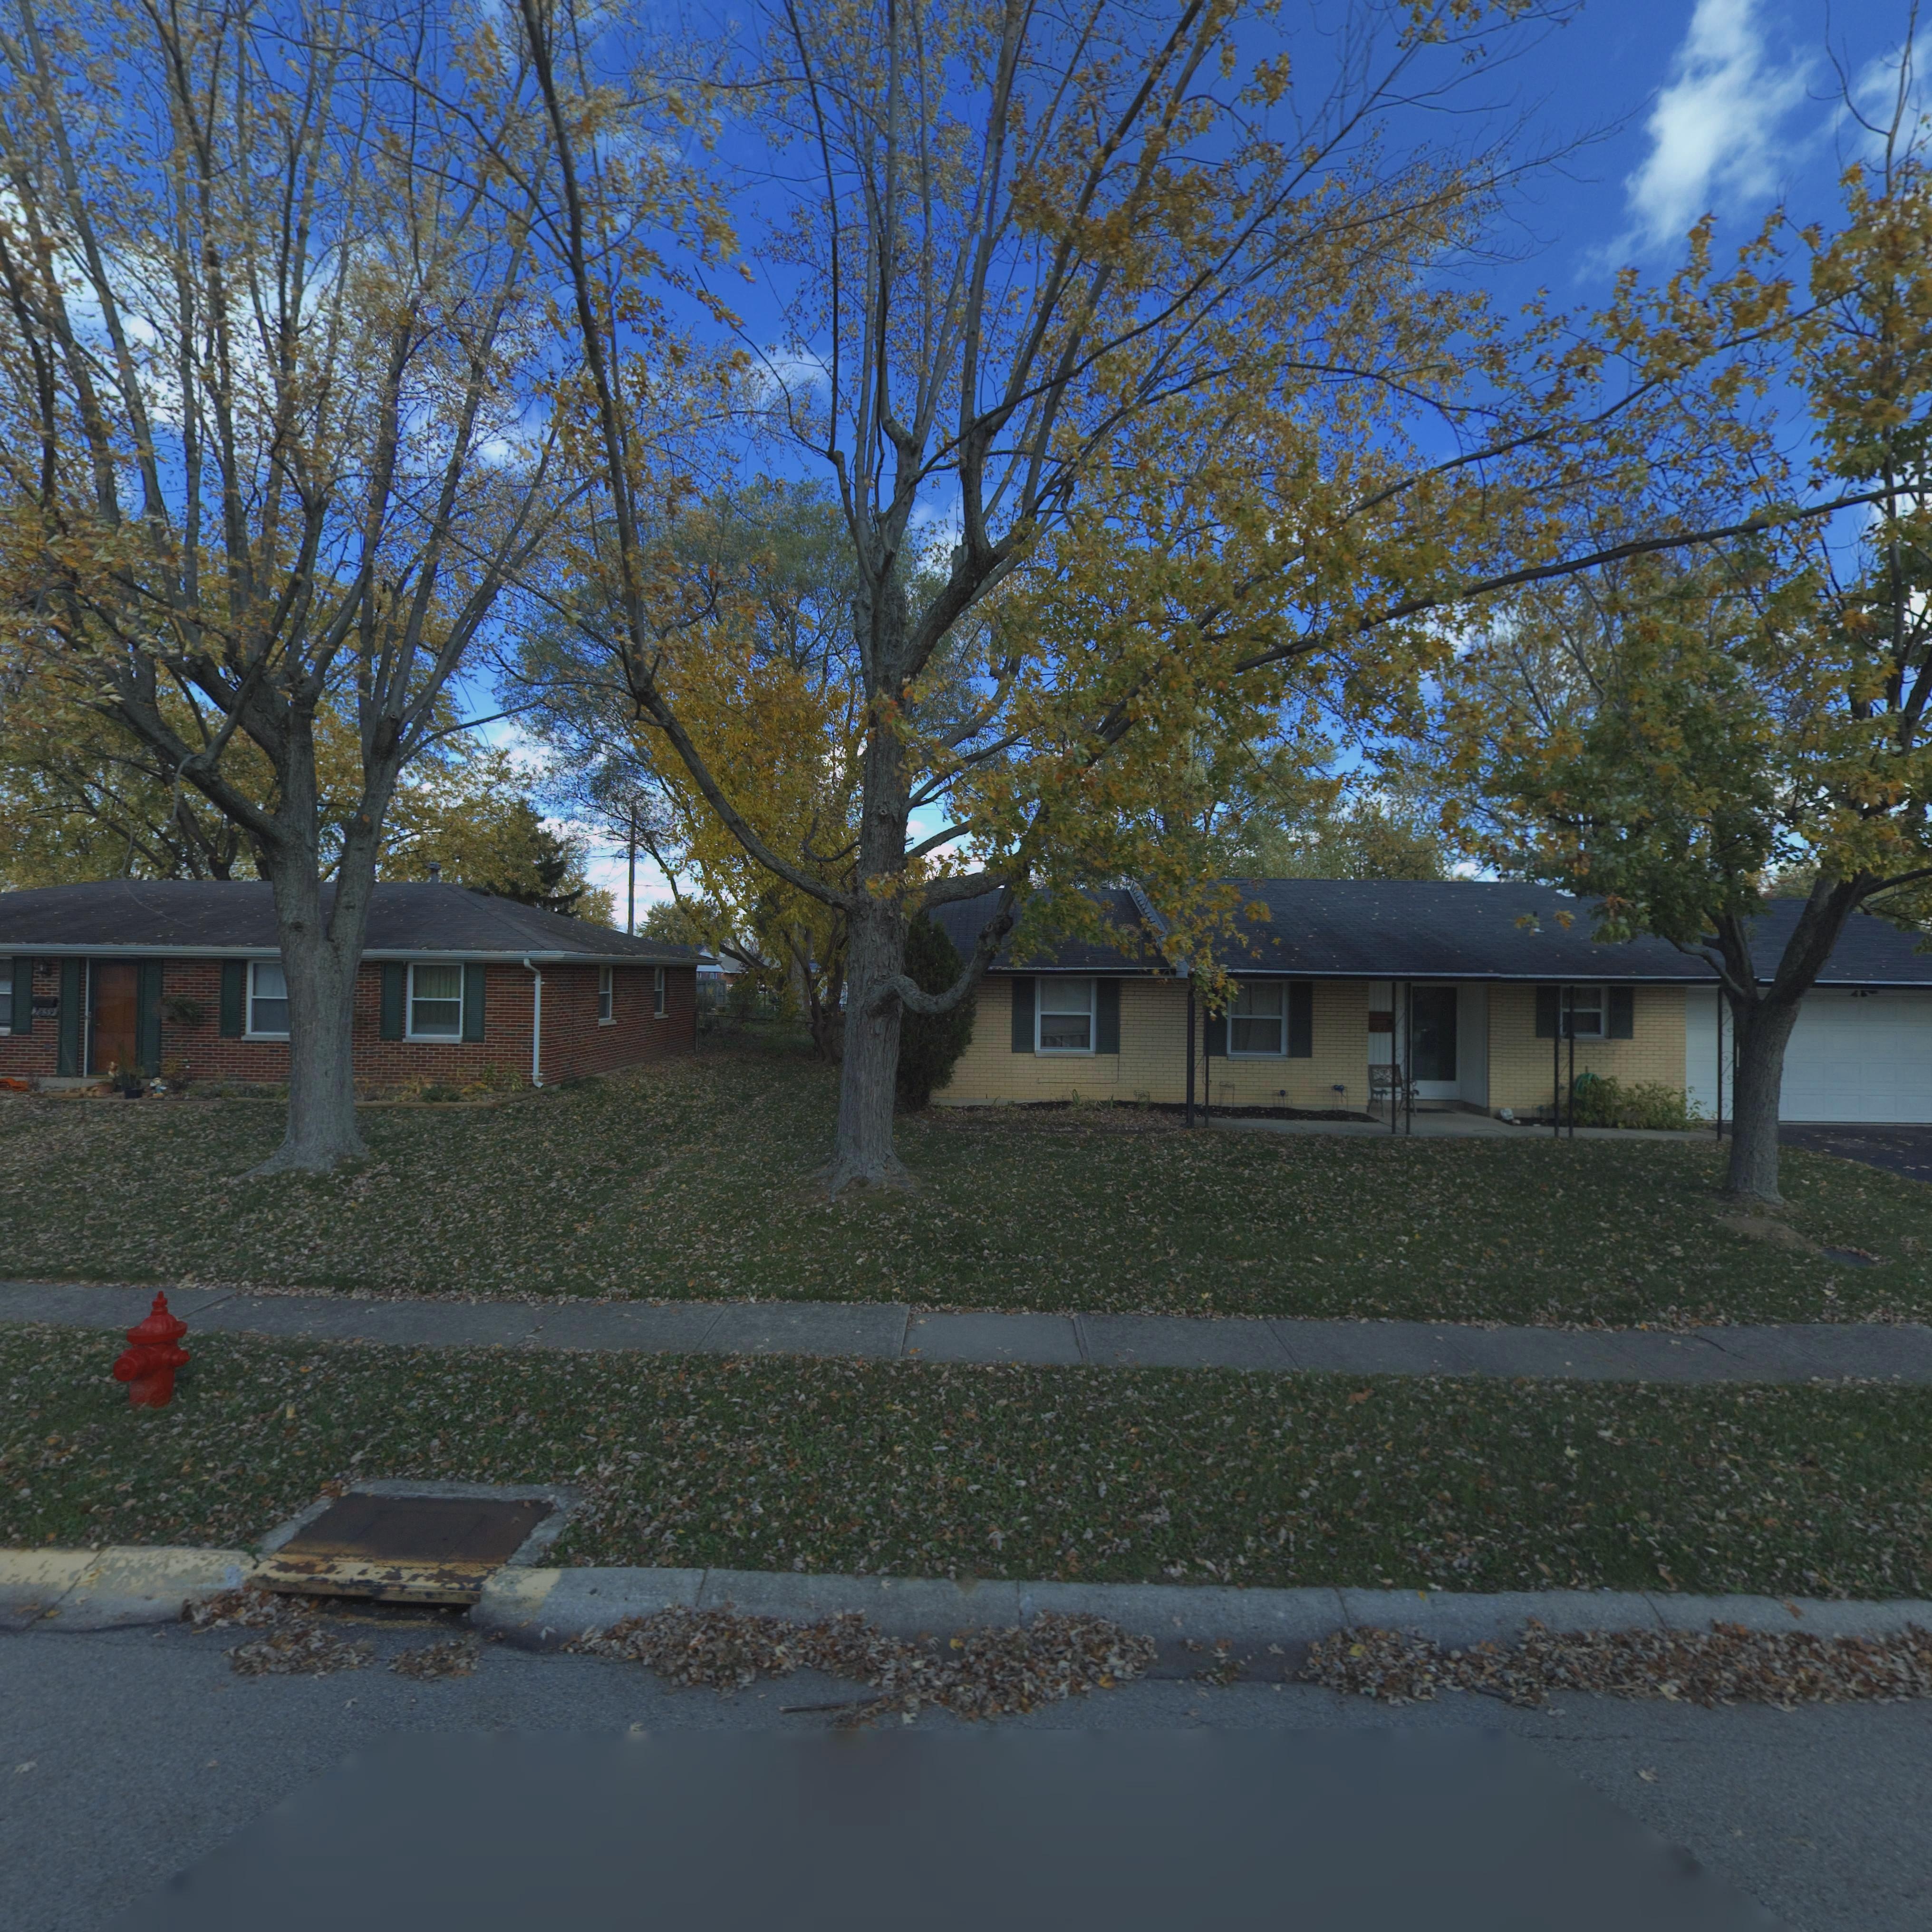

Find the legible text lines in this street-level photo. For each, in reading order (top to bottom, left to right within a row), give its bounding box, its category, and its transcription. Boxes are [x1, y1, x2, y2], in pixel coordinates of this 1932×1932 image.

[32, 1007, 55, 1016] StreetNumber: 7859
[1375, 1025, 1387, 1032] StreetNumber: 8*